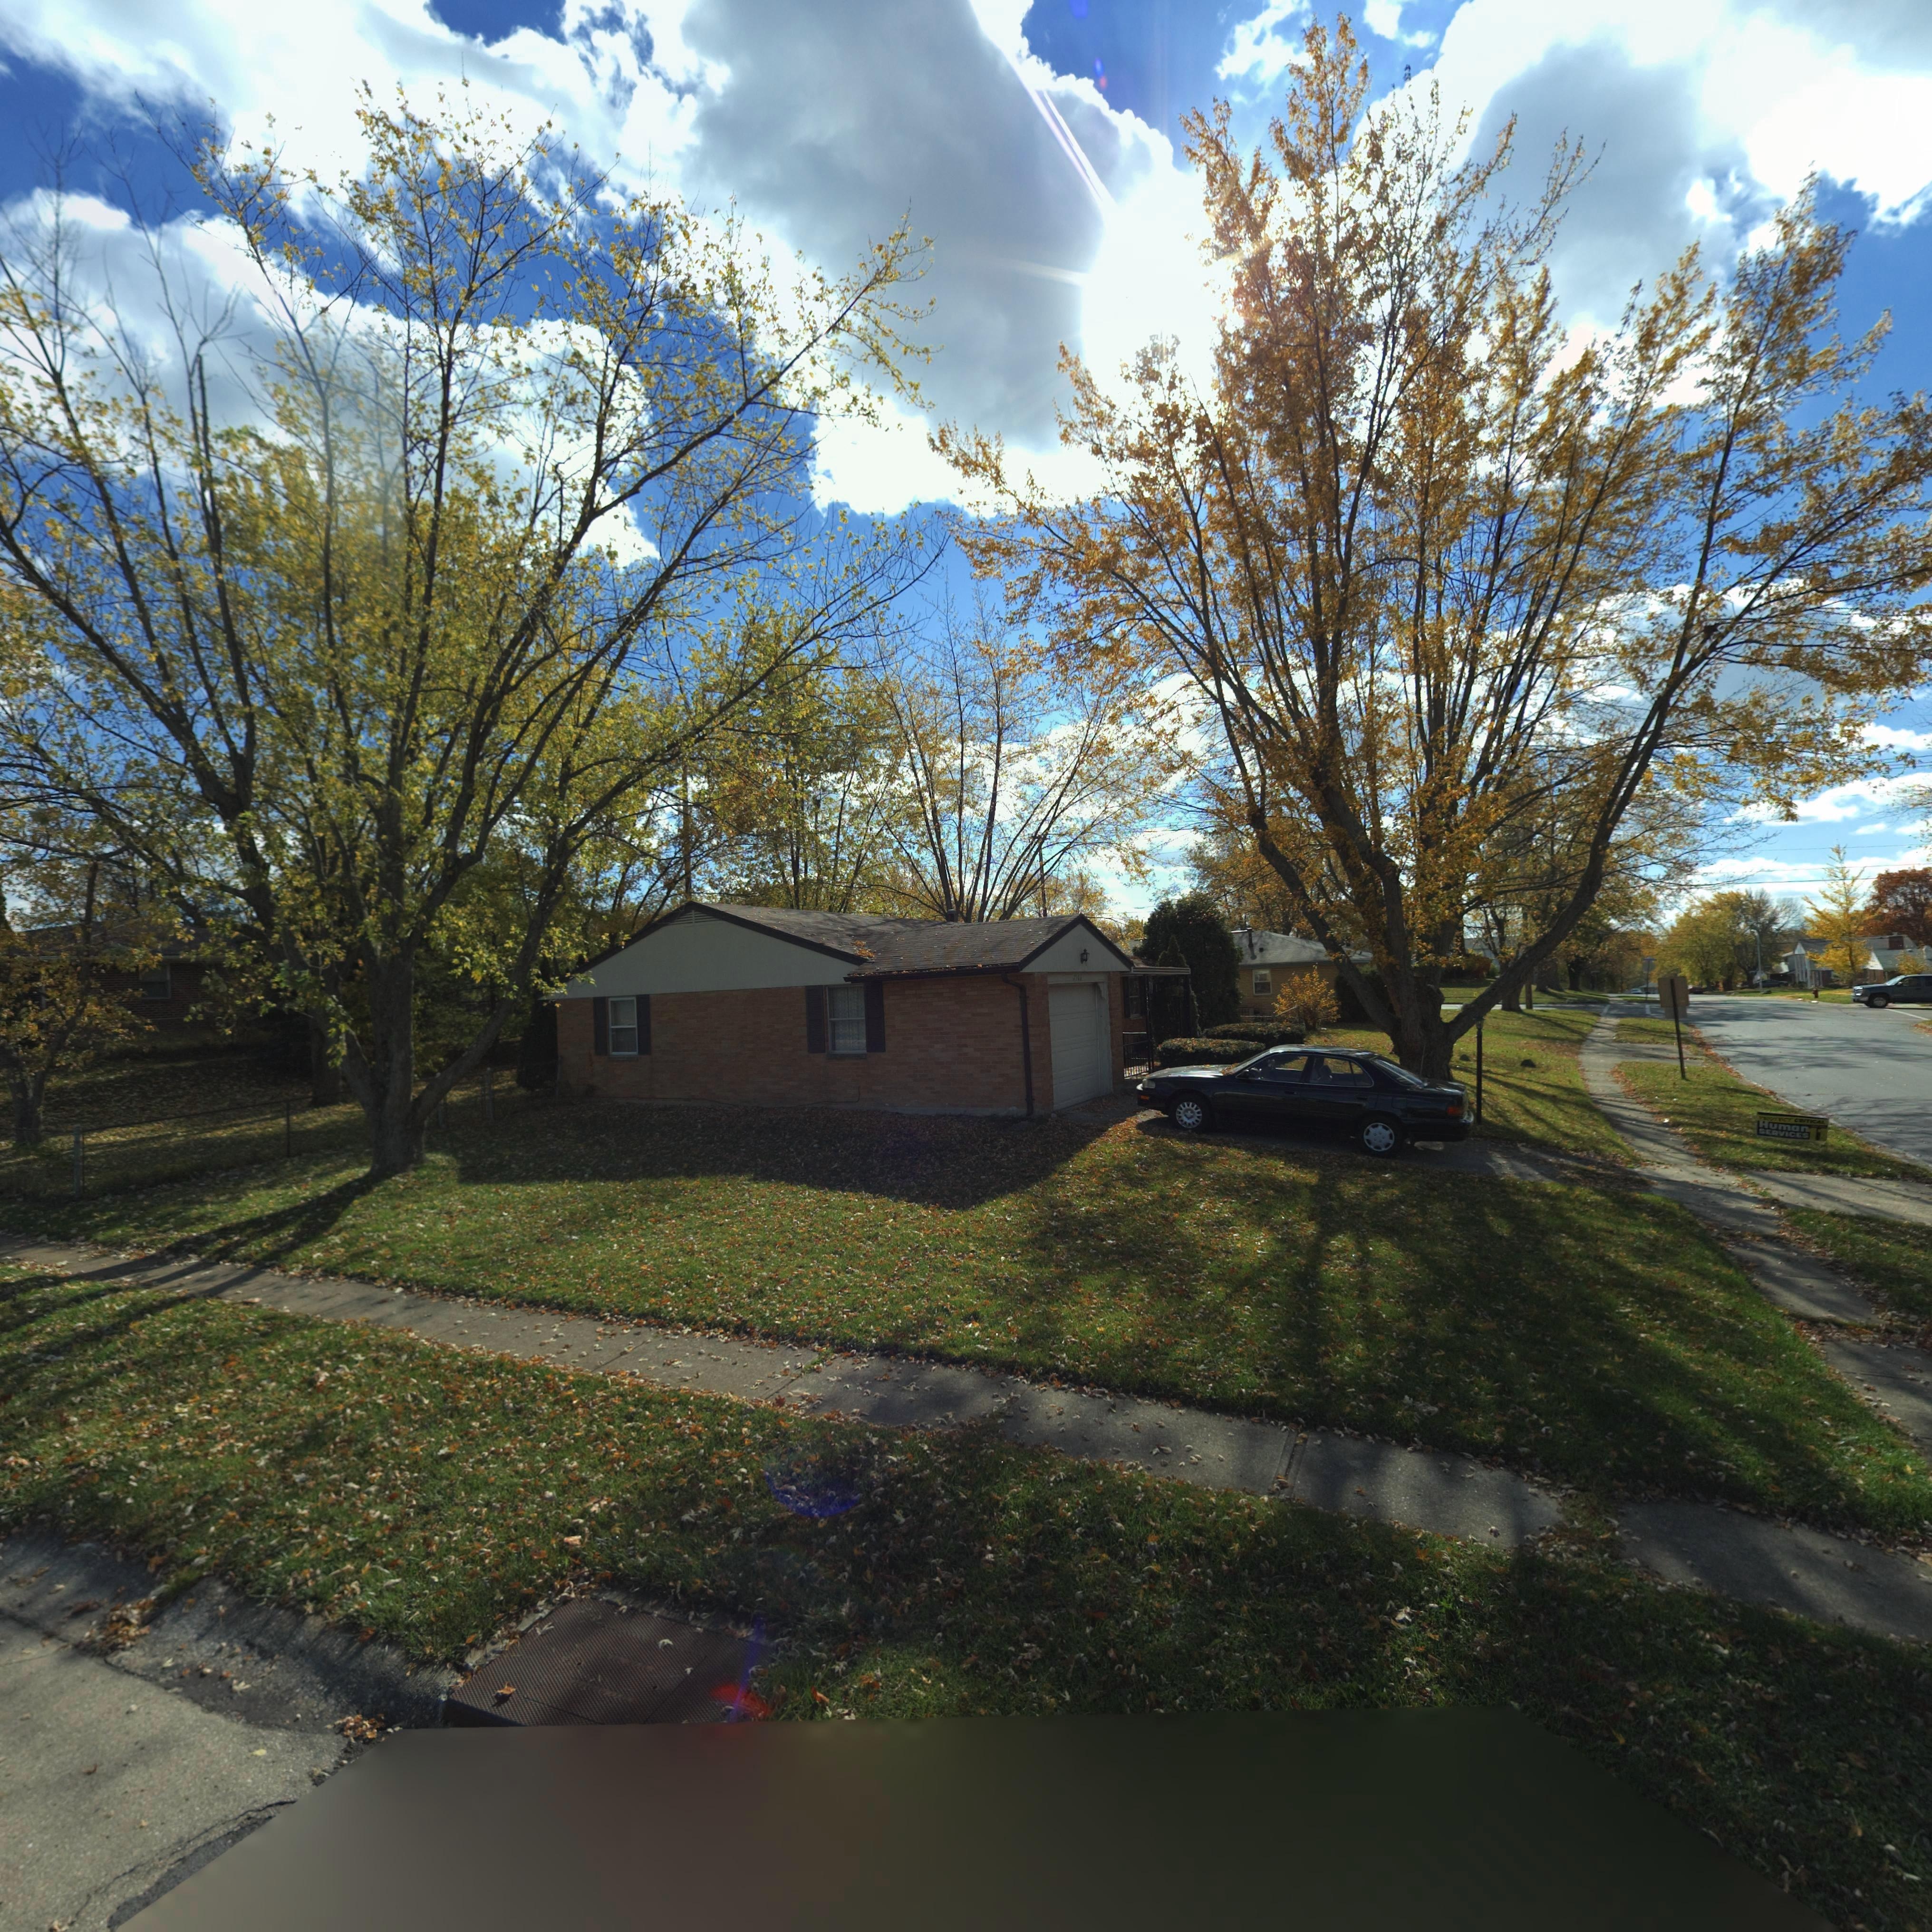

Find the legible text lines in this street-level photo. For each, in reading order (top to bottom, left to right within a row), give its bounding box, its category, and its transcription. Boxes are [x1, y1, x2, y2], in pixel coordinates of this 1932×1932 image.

[1073, 974, 1082, 982] StreetNumber: 7506